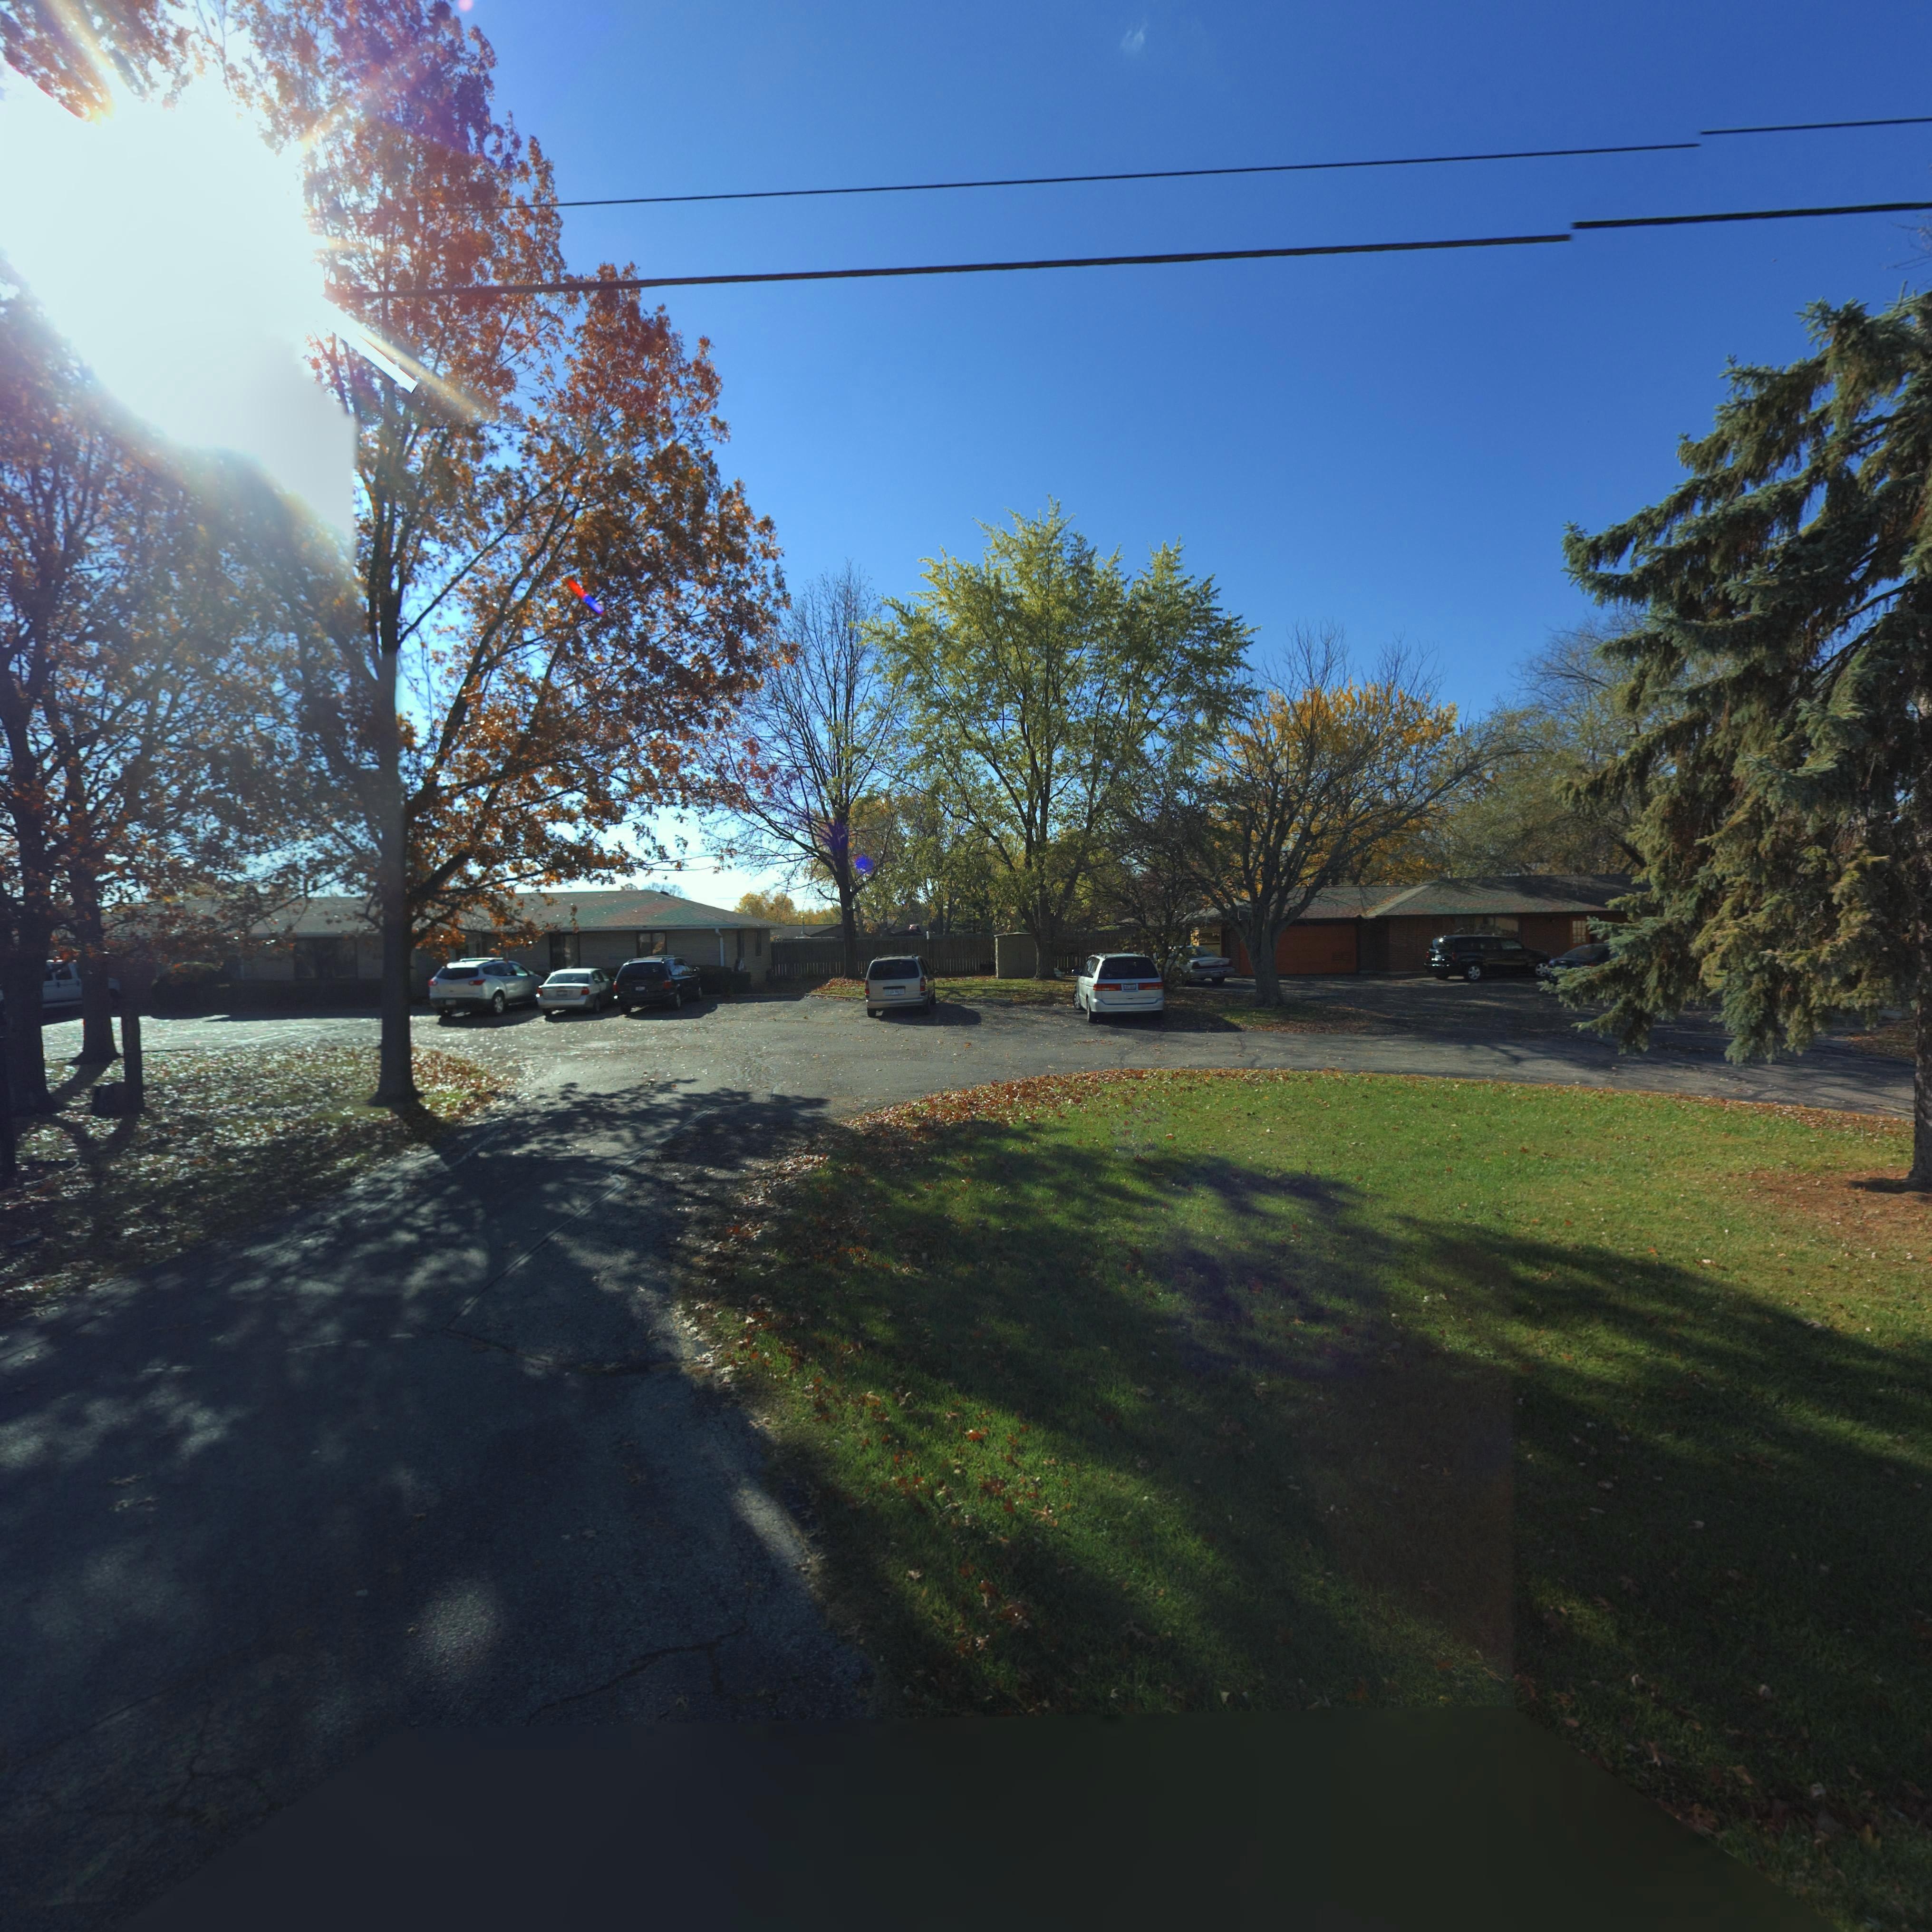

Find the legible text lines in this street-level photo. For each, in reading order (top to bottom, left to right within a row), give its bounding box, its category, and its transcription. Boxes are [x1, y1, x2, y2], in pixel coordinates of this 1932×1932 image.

[123, 1008, 133, 1053] StreetNumber: 7172